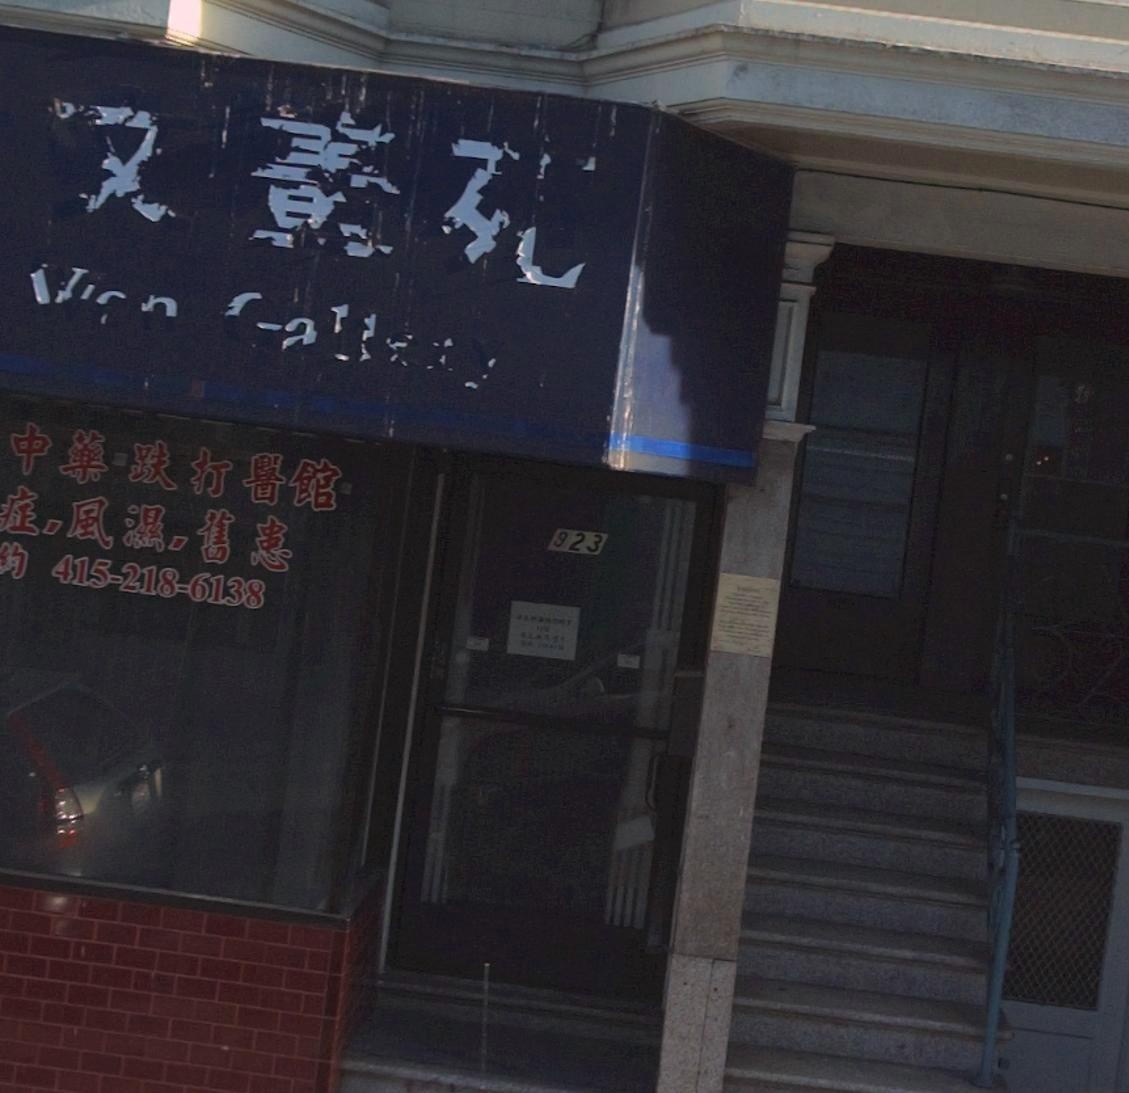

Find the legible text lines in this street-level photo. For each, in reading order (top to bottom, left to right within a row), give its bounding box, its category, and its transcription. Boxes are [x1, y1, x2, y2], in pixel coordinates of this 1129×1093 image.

[546, 528, 608, 554] StreetNumber: 923
[49, 552, 268, 611] None: 415-218-6138